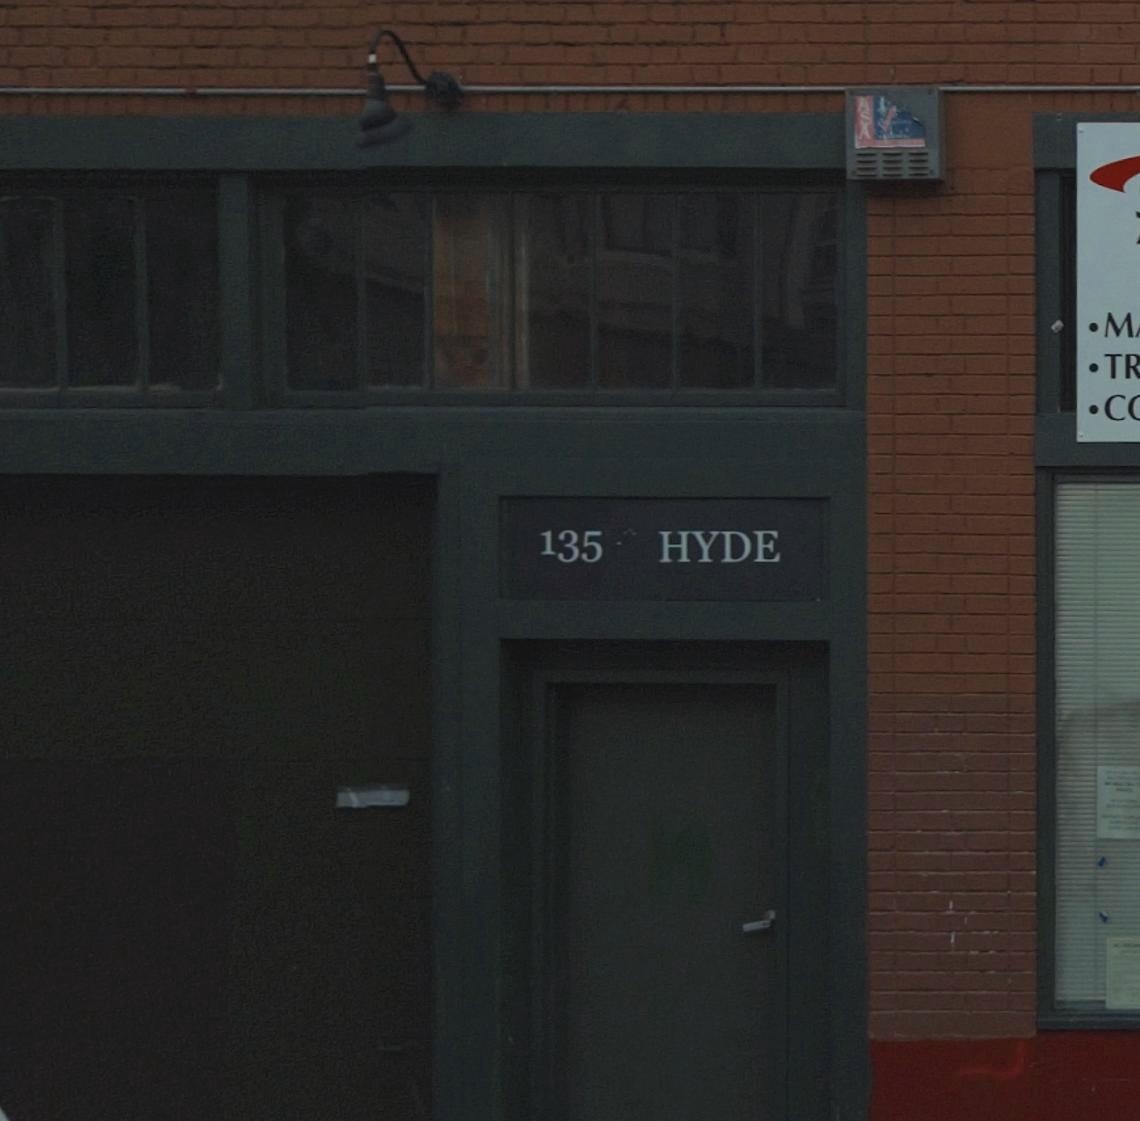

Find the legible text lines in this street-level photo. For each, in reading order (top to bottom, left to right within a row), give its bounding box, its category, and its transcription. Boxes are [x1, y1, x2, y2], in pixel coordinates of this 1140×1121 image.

[1103, 310, 1134, 339] None: M
[1103, 353, 1124, 380] None: T
[1104, 393, 1128, 422] None: C
[538, 528, 605, 564] StreetNumber: 135
[655, 529, 781, 565] StreetName: HYDE